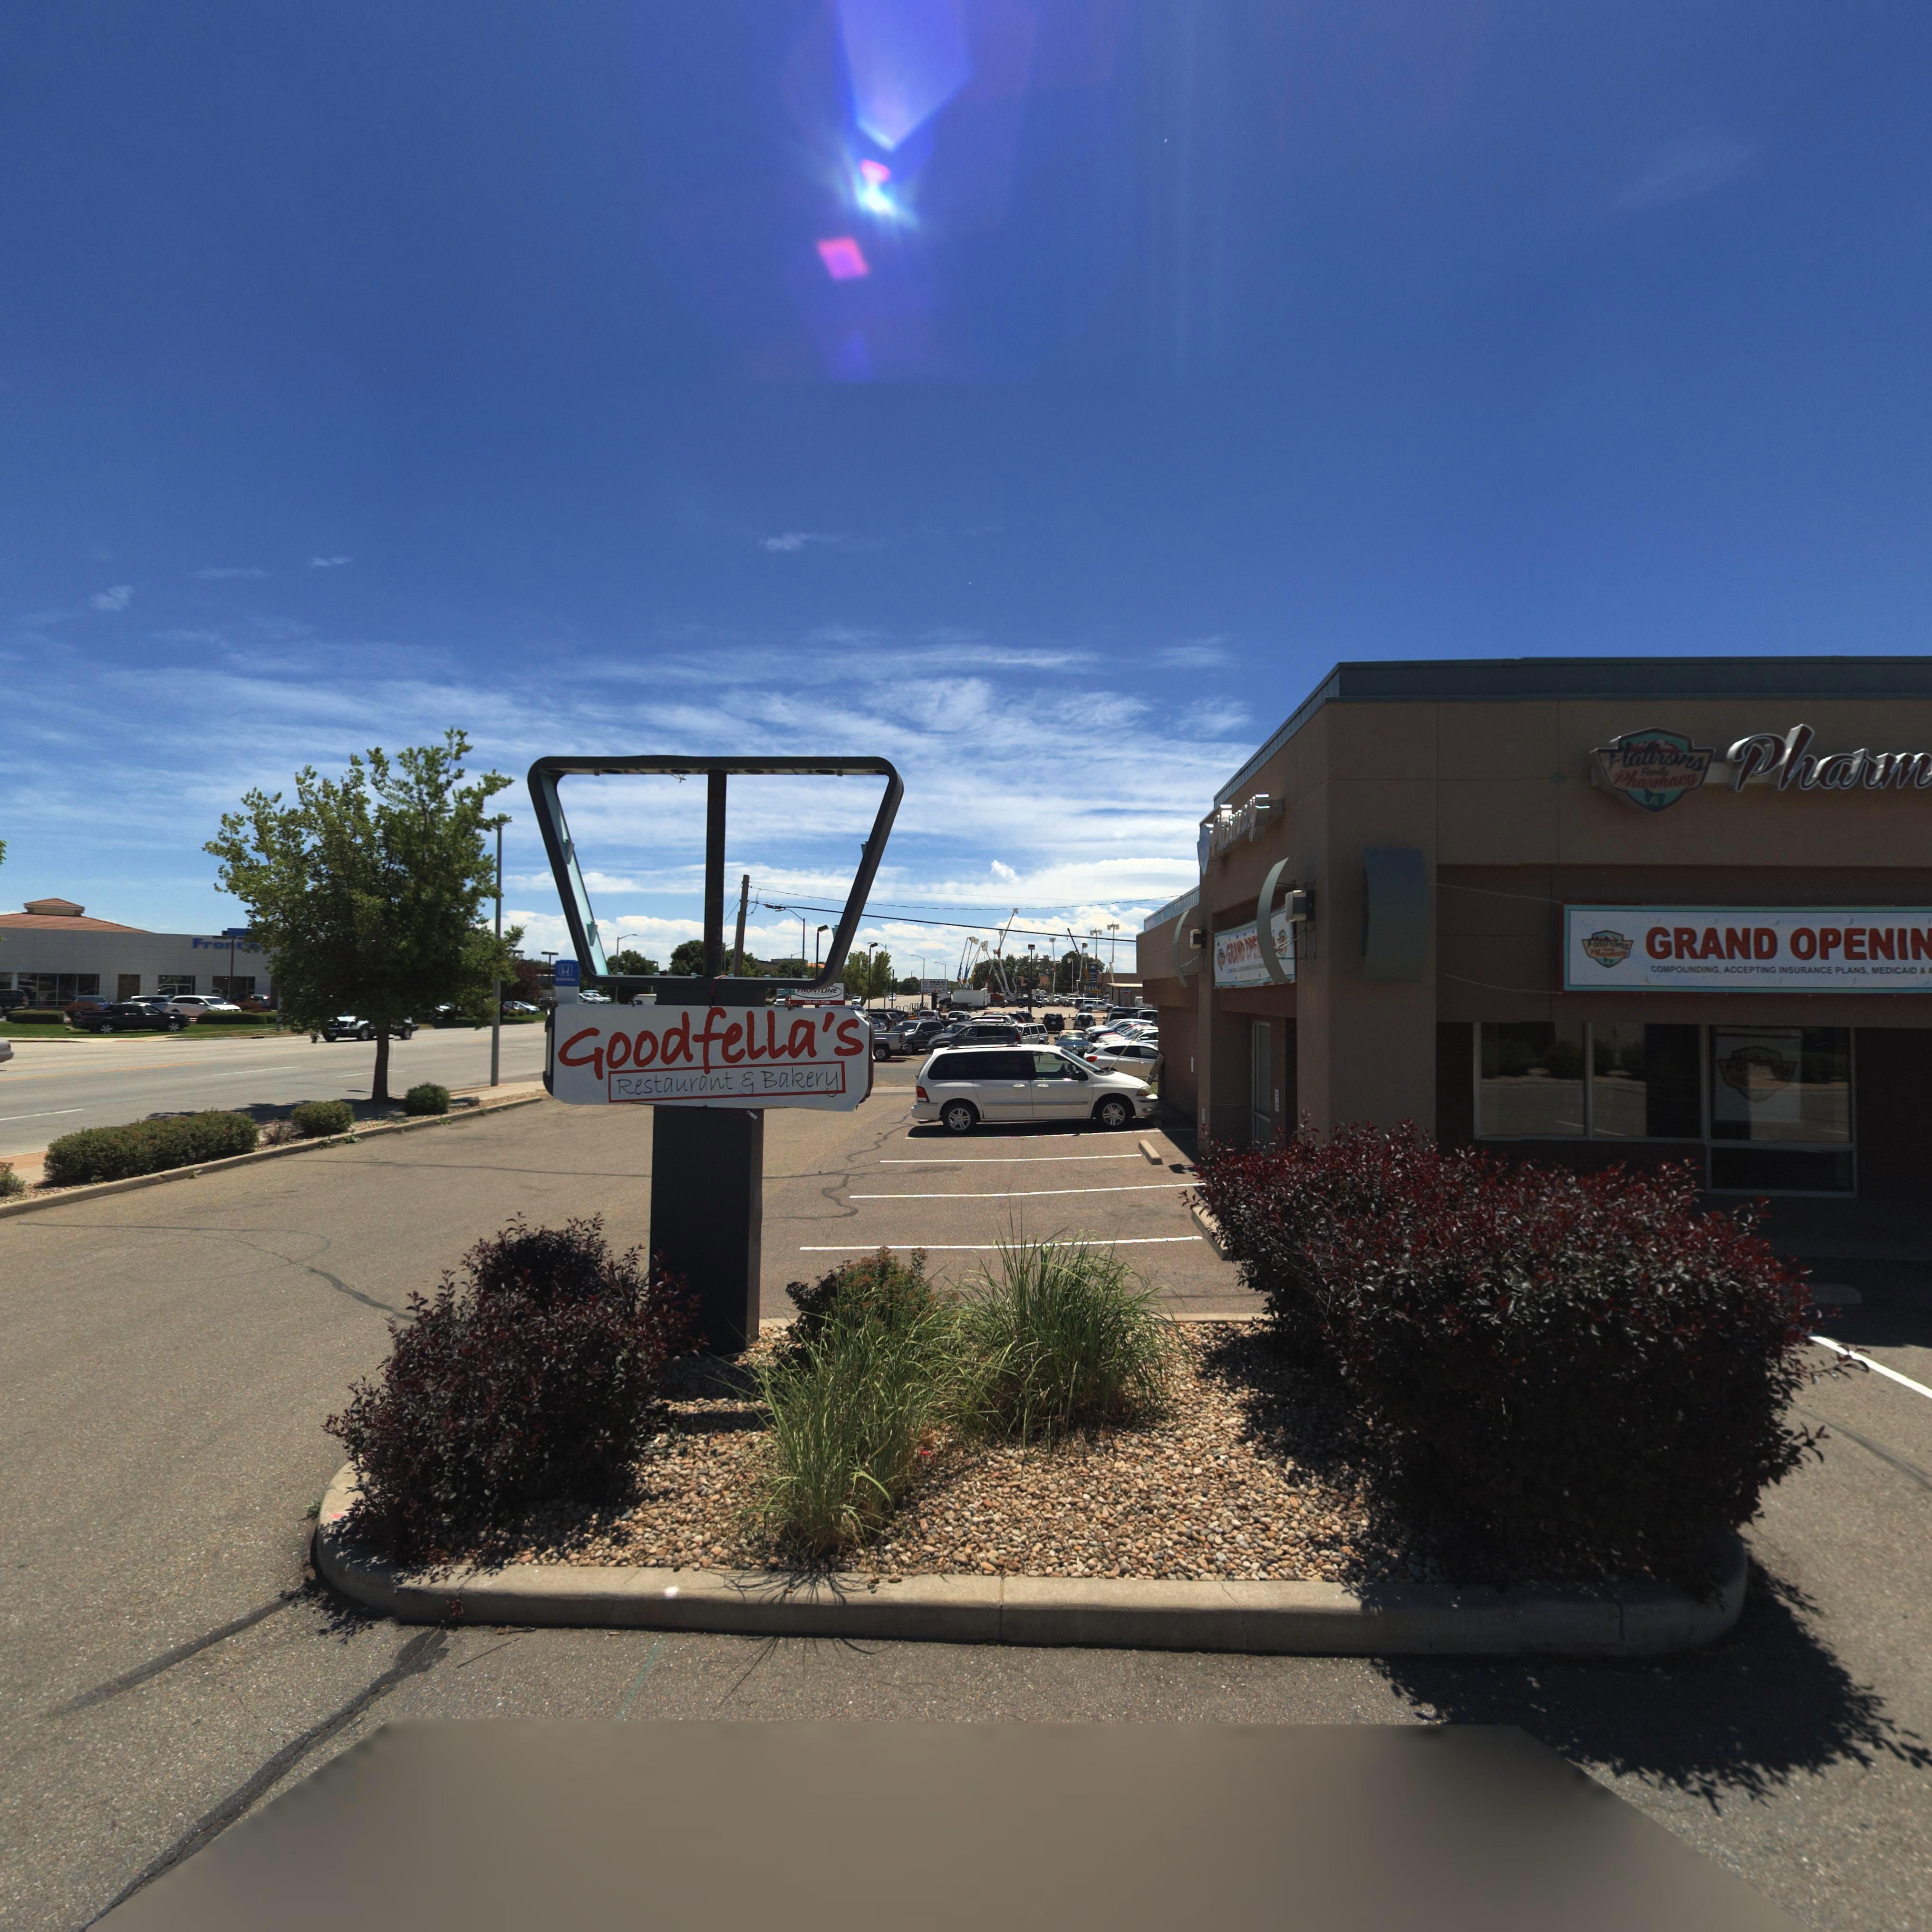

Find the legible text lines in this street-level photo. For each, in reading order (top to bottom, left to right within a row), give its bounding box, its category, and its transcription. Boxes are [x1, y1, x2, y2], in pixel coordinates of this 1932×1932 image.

[1606, 740, 1707, 773] BusinessName: Flatirons
[1732, 724, 1931, 793] StreetName: Pharm
[1640, 765, 1670, 777] BusinessName: Family
[1612, 769, 1700, 789] BusinessName: Pharmacy
[1208, 793, 1259, 857] BusinessName: P*****y
[191, 937, 264, 951] BusinessName: Fro*t**
[1586, 935, 1629, 950] BusinessName: Flatirons
[1589, 947, 1628, 958] BusinessName: Pharmacy
[555, 977, 577, 981] BusinessName: *ONDA
[929, 980, 946, 984] BusinessName: MAC
[557, 1005, 865, 1081] BusinessName: Goodfella's